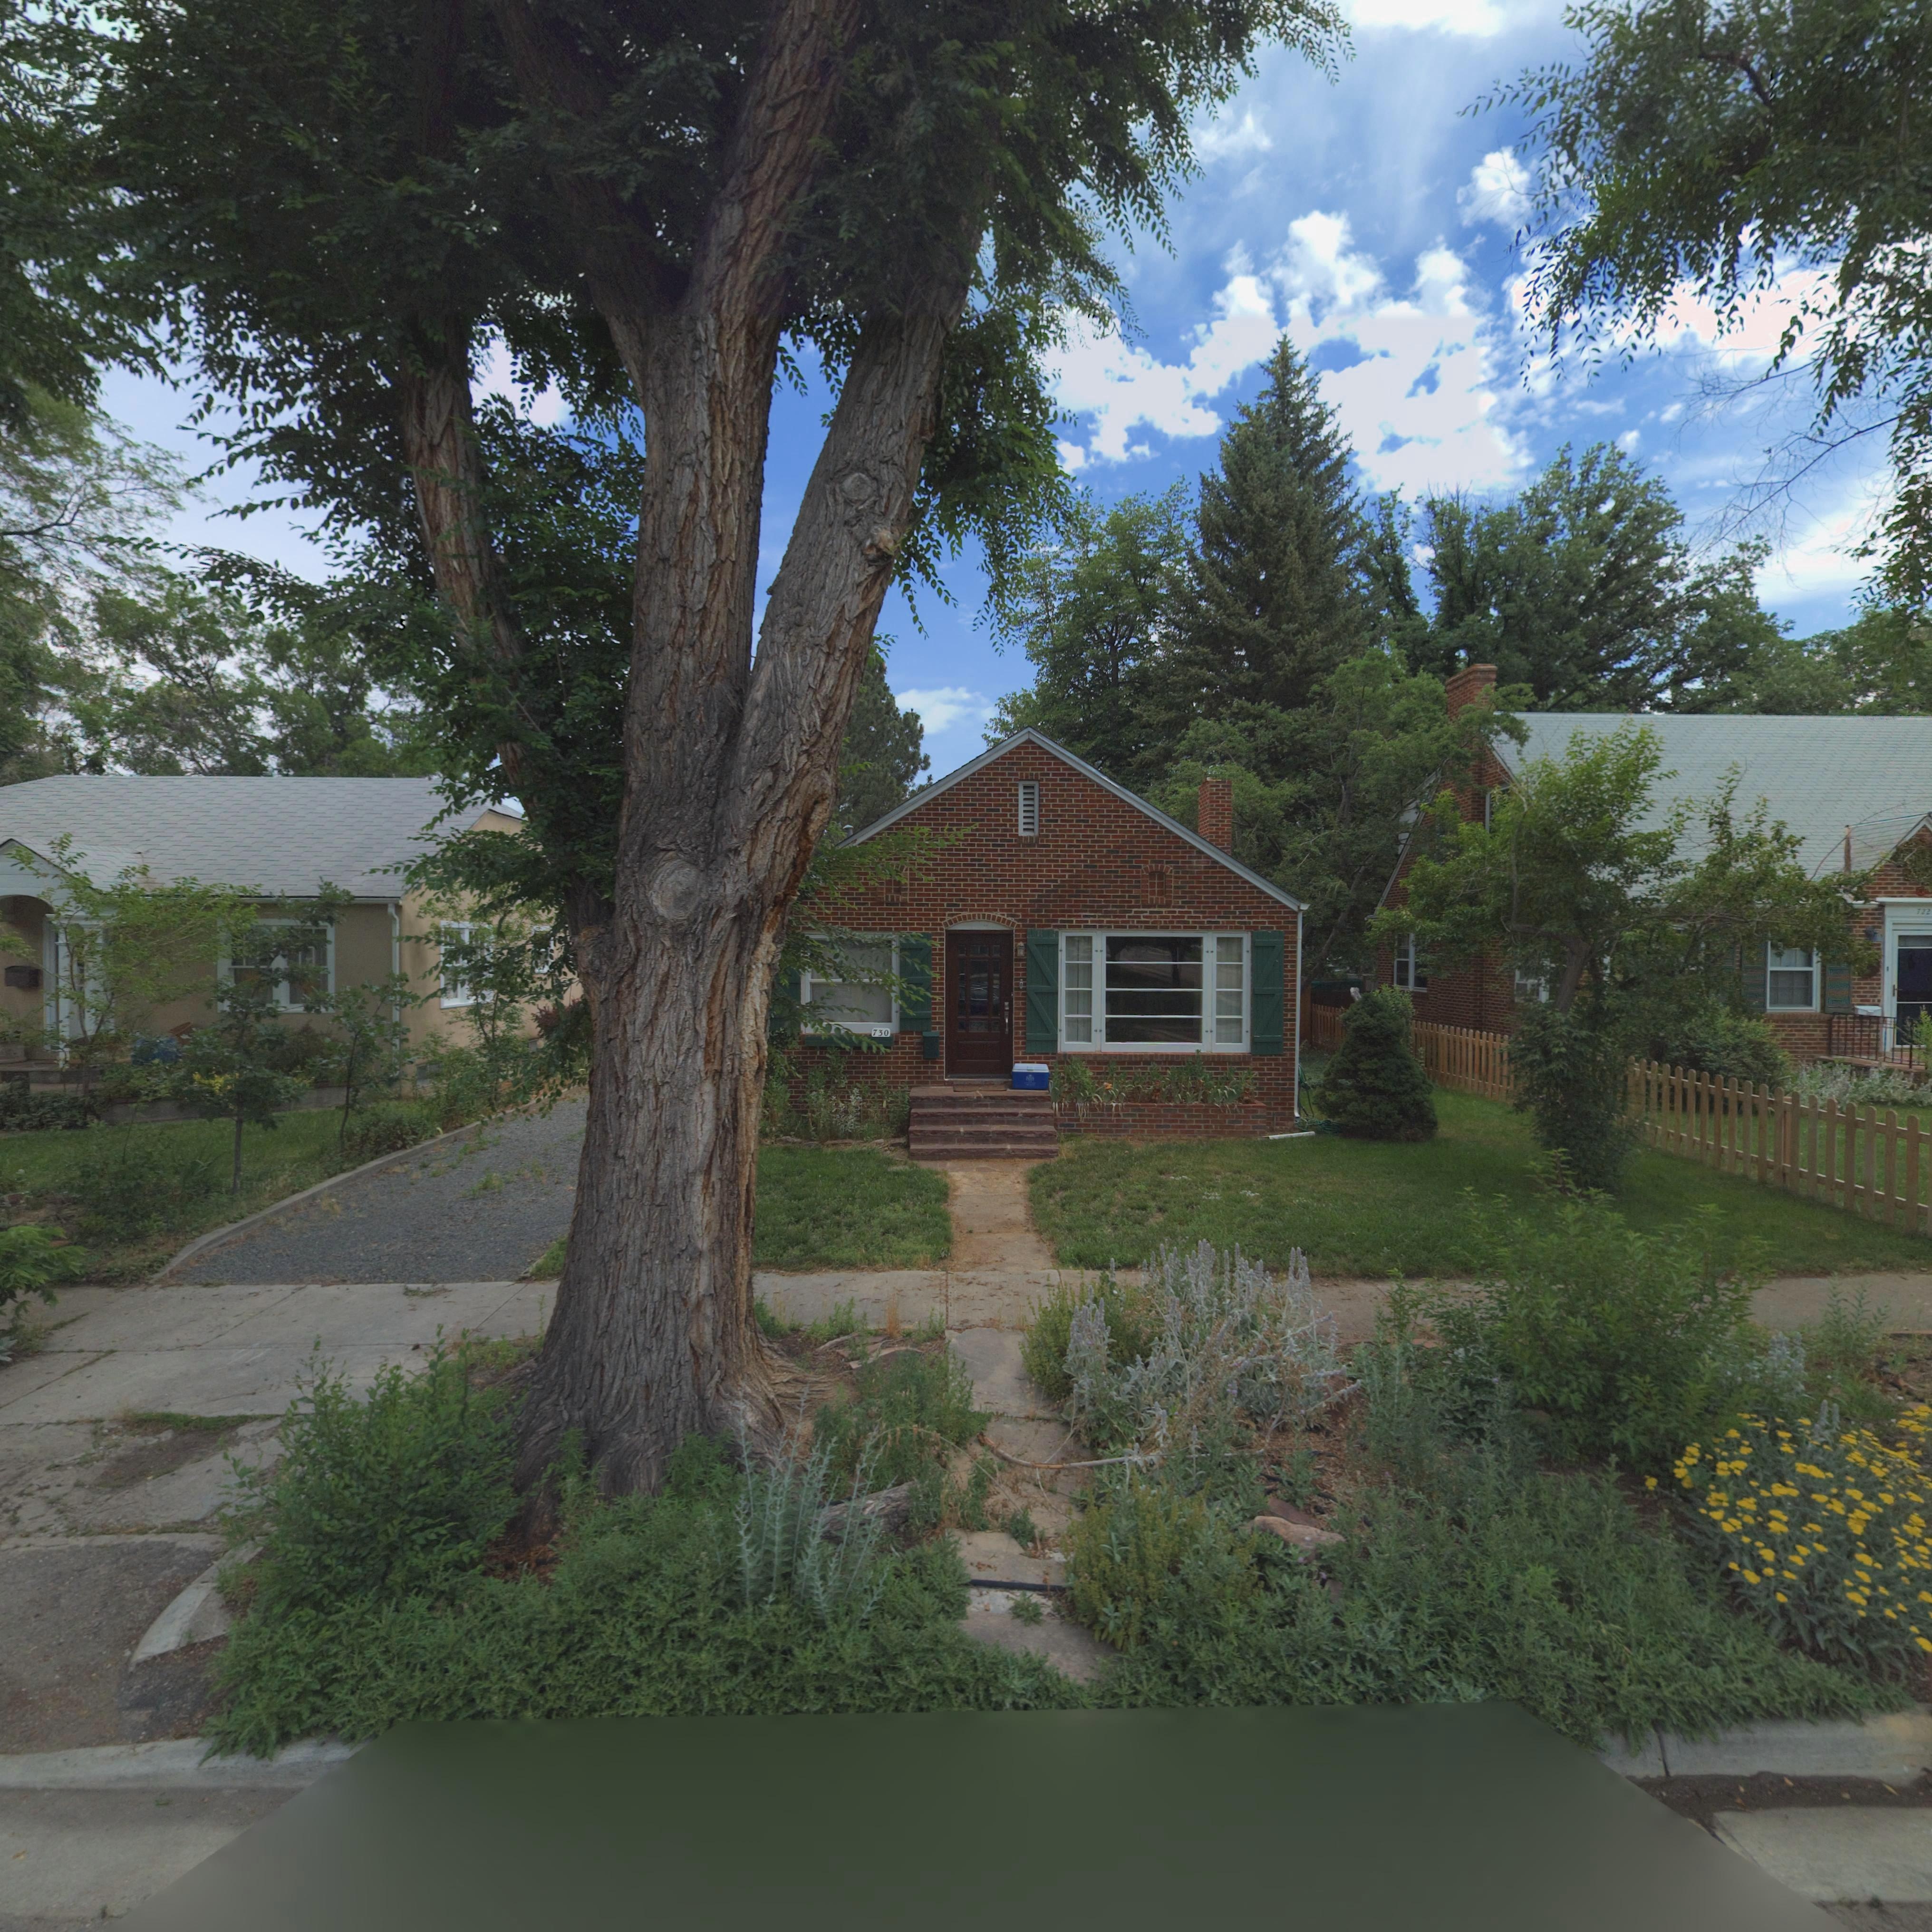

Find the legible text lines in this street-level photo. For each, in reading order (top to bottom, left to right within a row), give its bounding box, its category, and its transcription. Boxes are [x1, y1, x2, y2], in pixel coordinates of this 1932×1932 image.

[872, 1029, 889, 1036] StreetNumber: 730